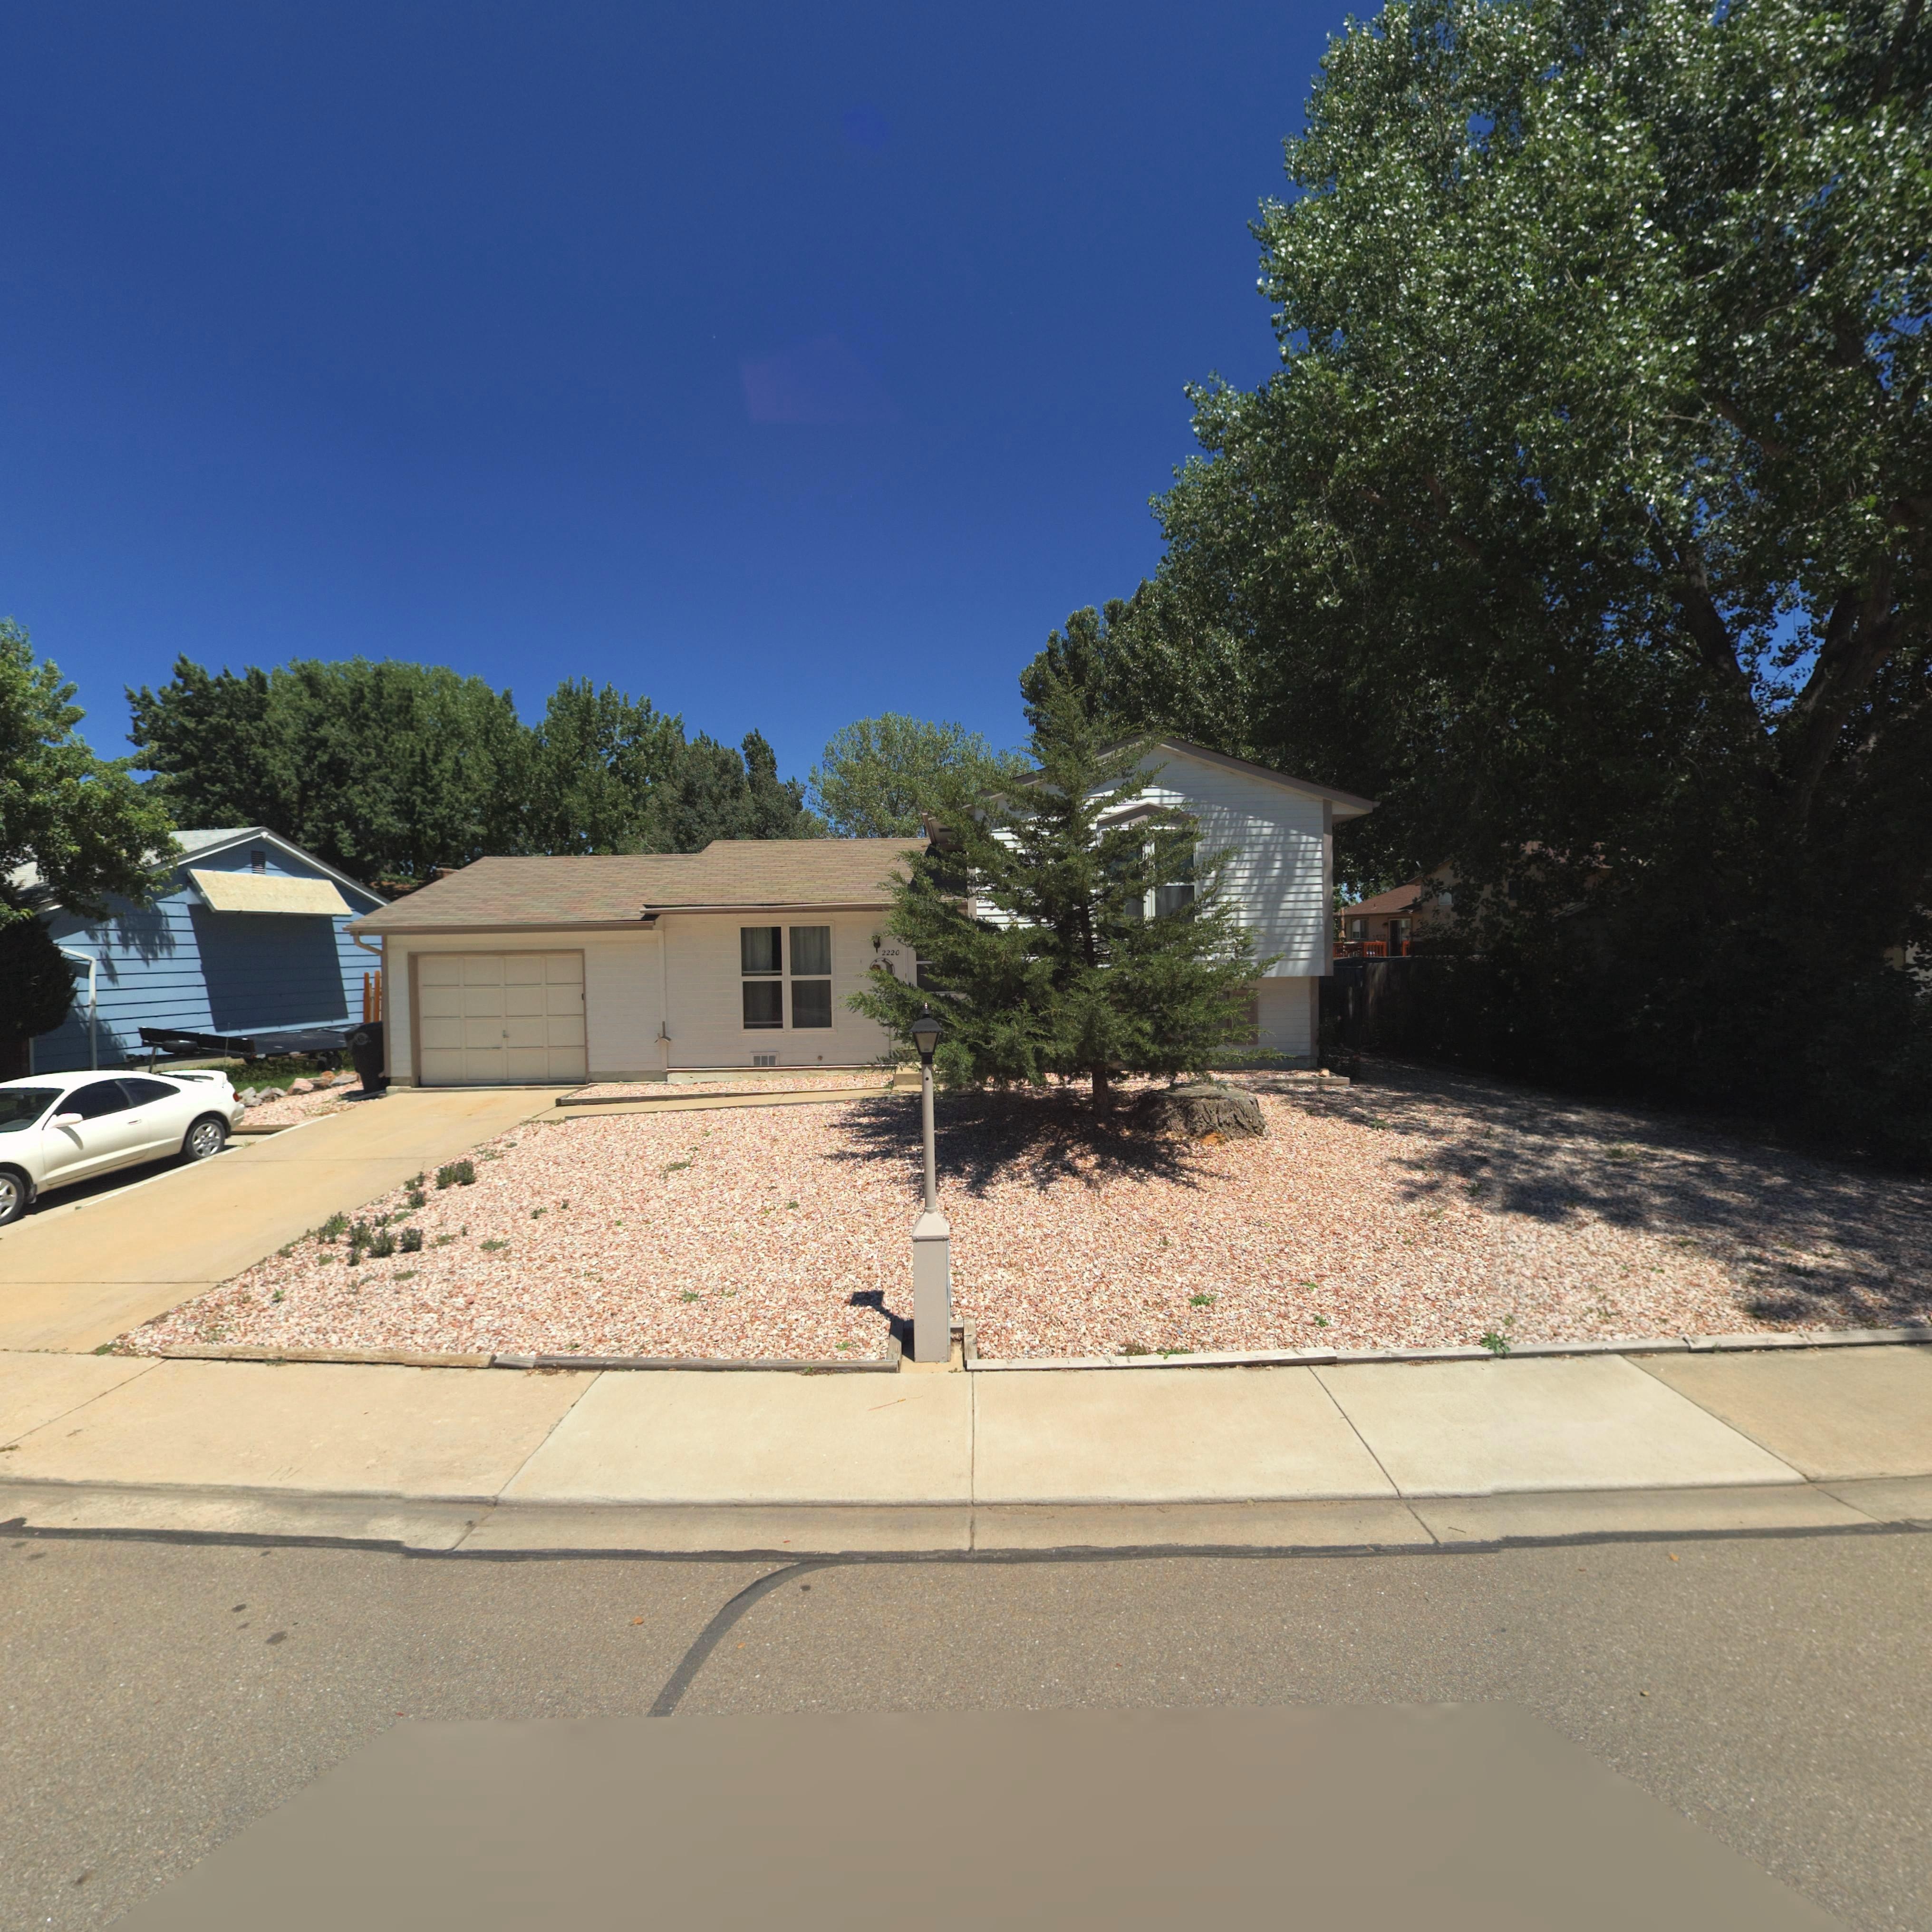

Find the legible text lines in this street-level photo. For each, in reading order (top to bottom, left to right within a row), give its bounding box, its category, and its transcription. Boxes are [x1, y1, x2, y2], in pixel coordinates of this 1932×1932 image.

[881, 949, 899, 956] StreetNumber: 2220